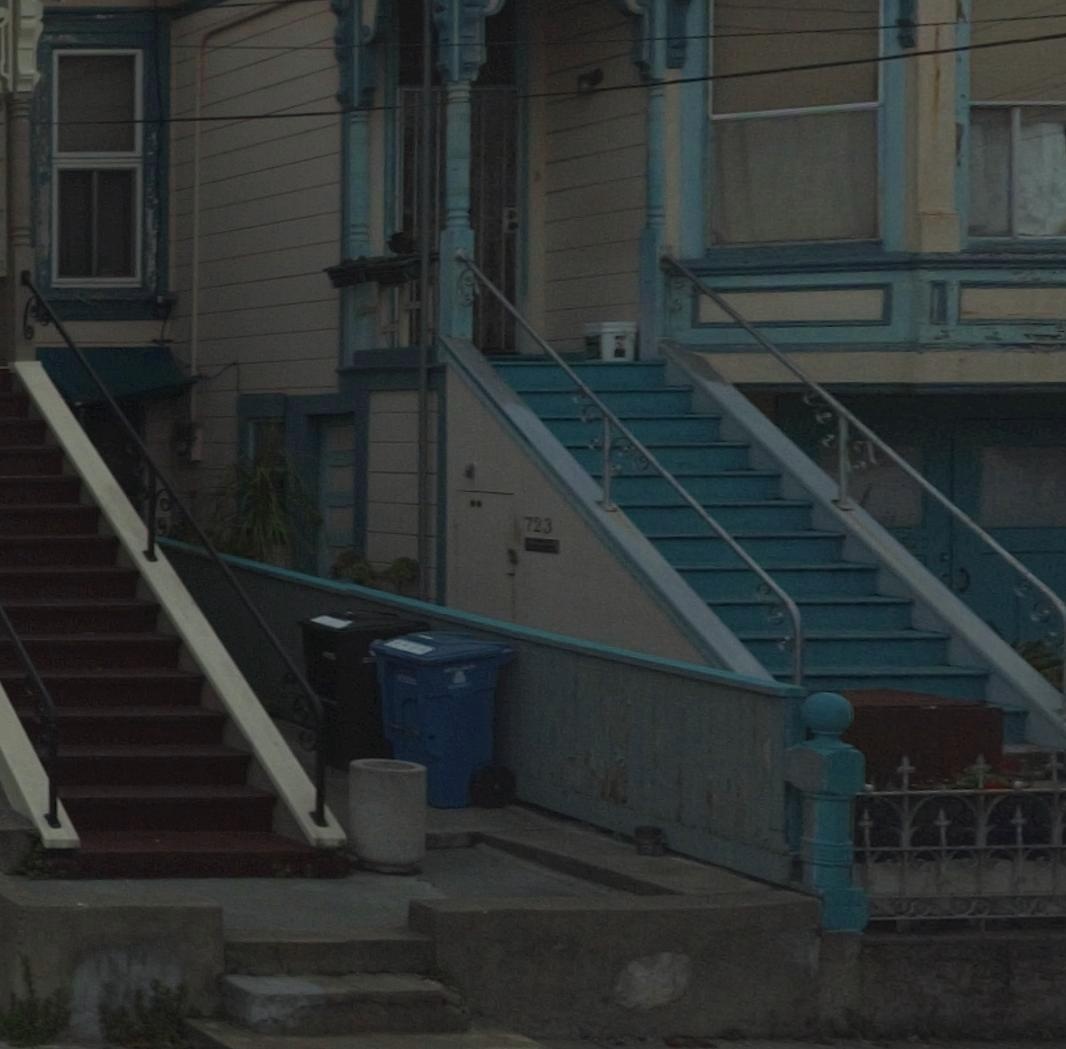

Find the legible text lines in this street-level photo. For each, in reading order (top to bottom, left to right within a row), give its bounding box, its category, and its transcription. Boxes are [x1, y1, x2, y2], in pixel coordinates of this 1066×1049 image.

[521, 515, 555, 535] StreetNumber: 723